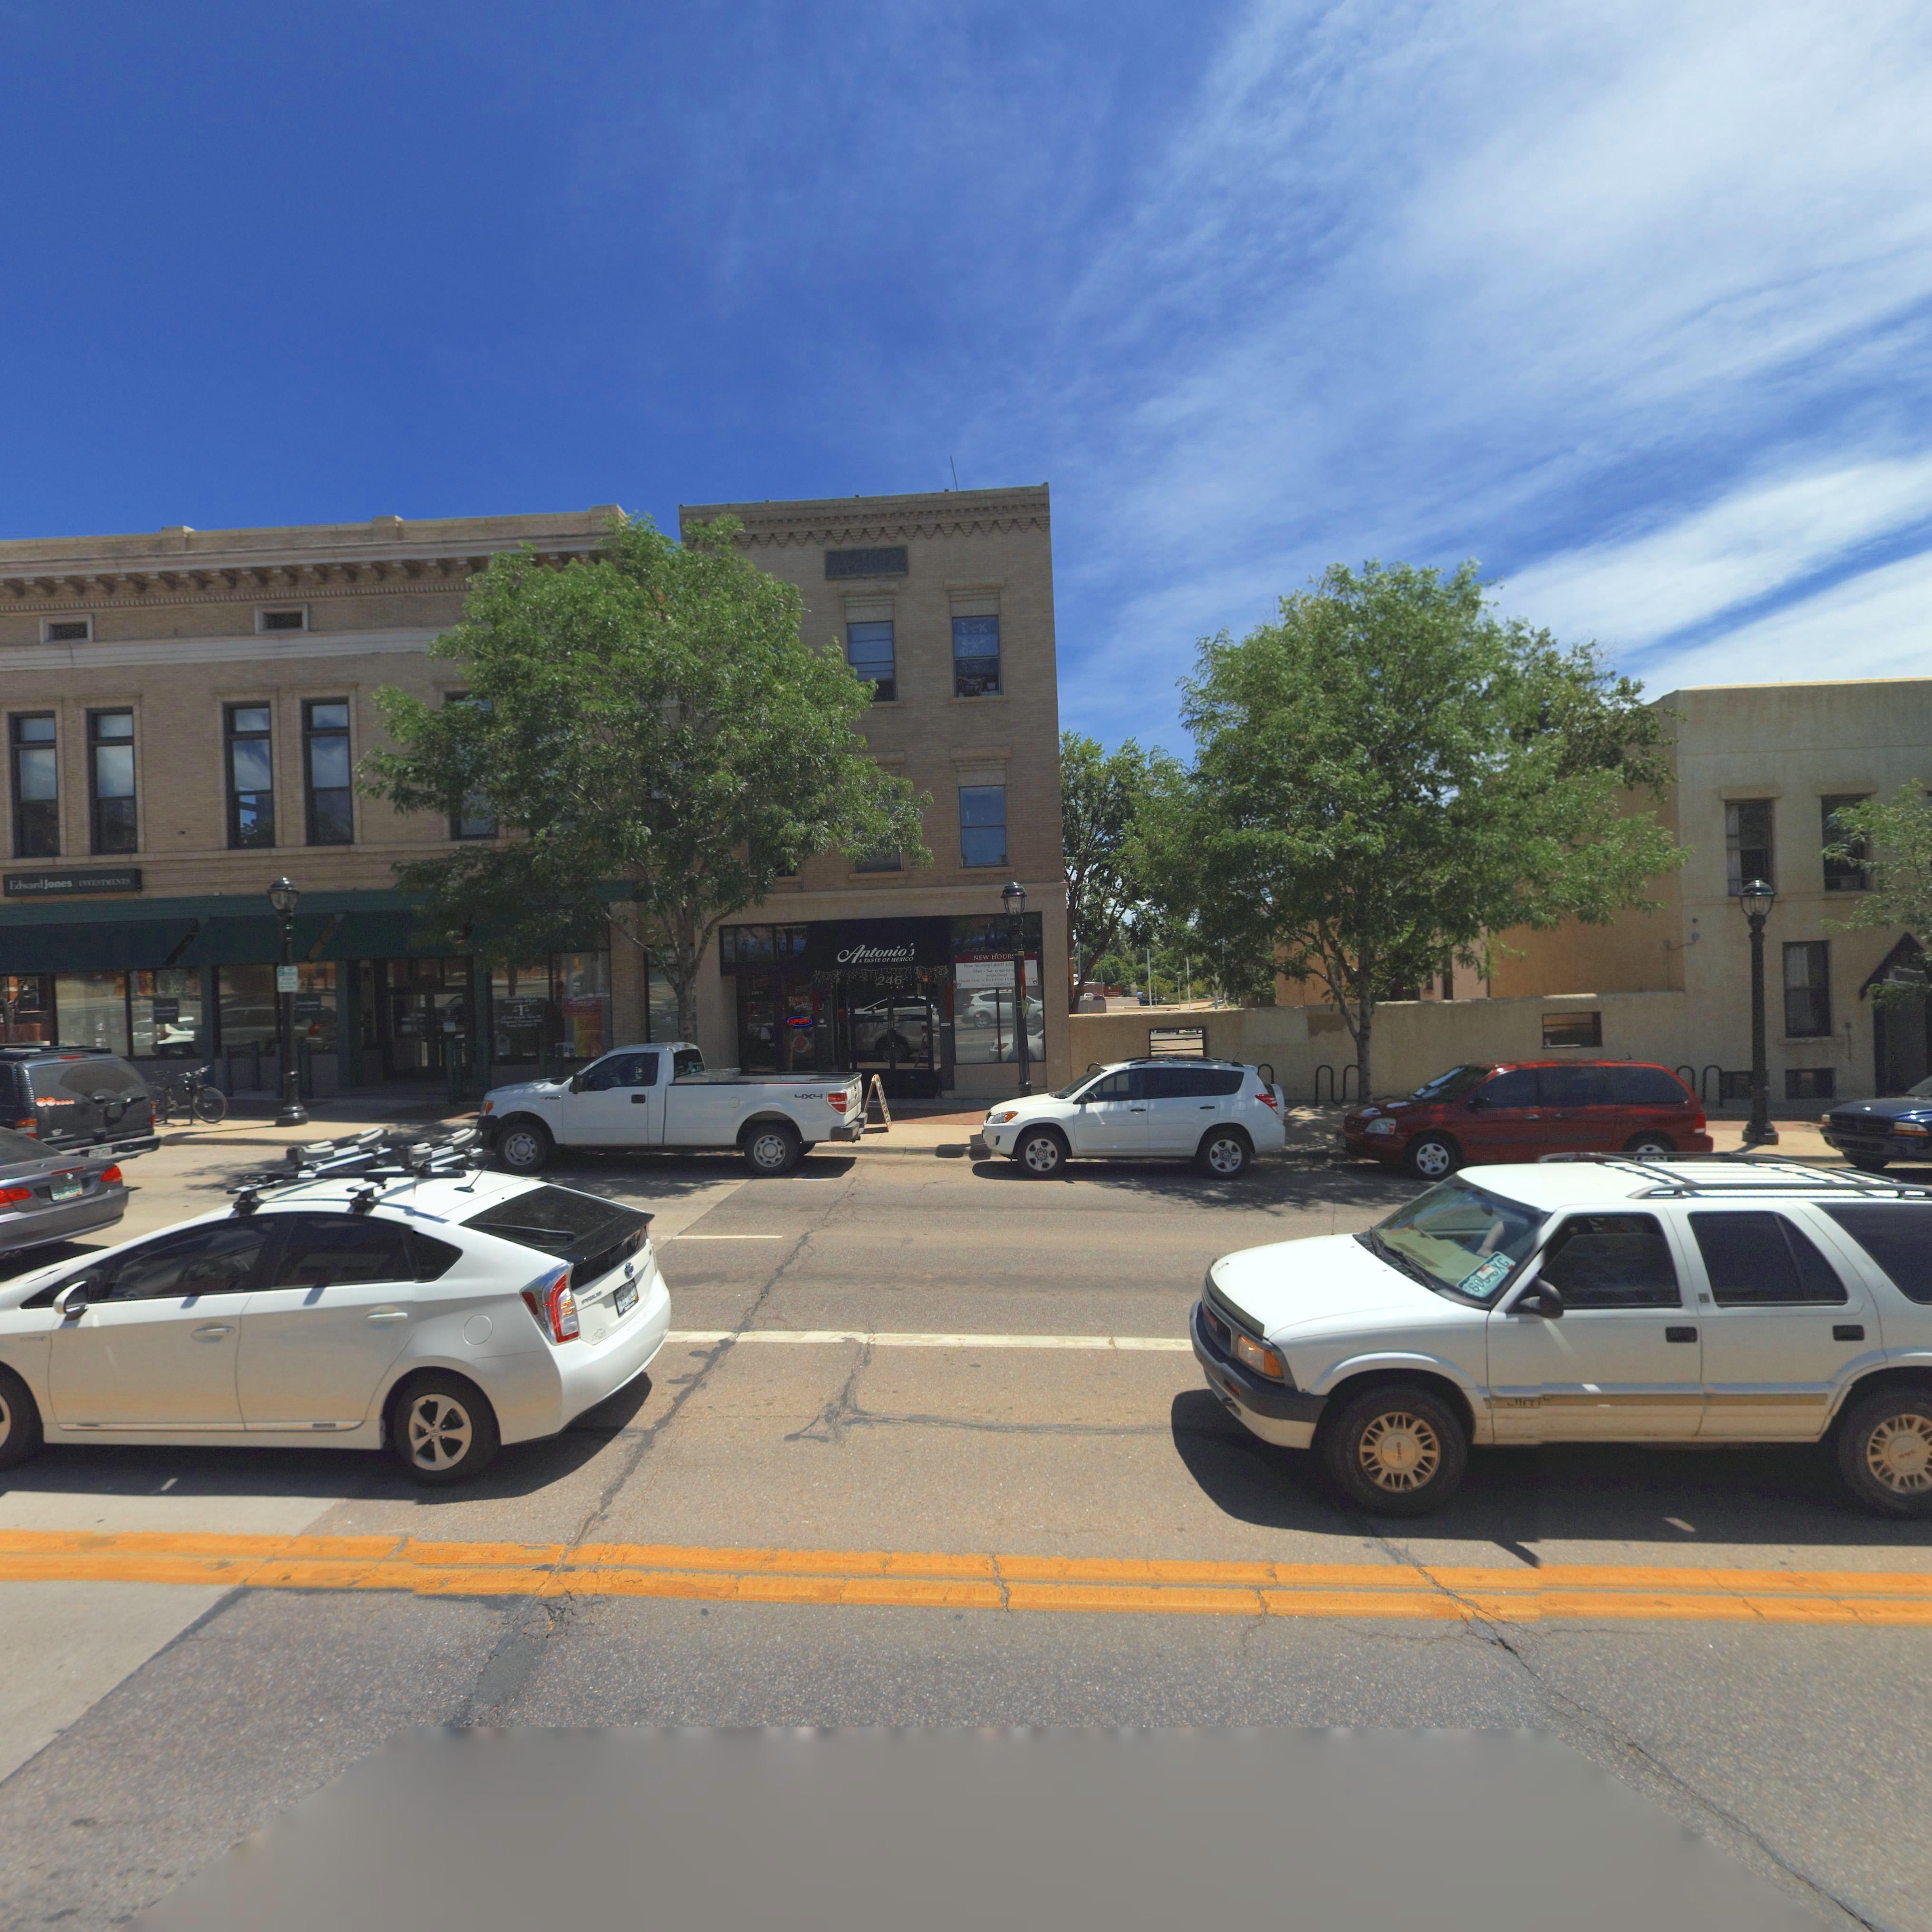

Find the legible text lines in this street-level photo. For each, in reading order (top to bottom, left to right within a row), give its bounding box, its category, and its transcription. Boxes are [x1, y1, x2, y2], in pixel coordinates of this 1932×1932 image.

[8, 877, 131, 890] BusinessName: Edward Jones INVESTMENTS
[837, 942, 915, 963] BusinessName: Antonio's
[856, 956, 913, 963] BusinessName: A TASTE OF MEXICO
[876, 975, 902, 985] StreetNumber: 246